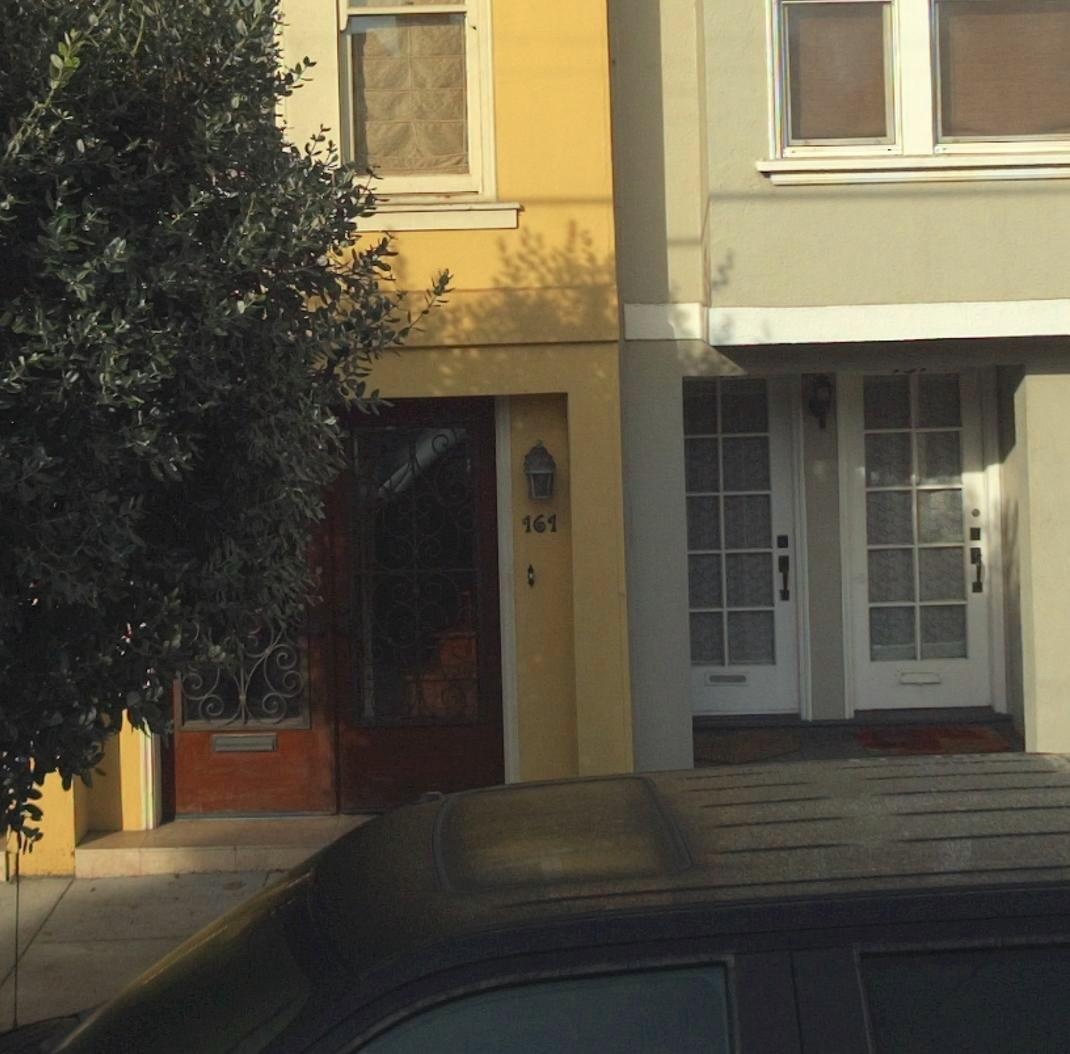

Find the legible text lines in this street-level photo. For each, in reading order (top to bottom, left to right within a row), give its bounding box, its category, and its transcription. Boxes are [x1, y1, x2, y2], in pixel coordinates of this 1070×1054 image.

[520, 511, 559, 536] StreetNumber: 161